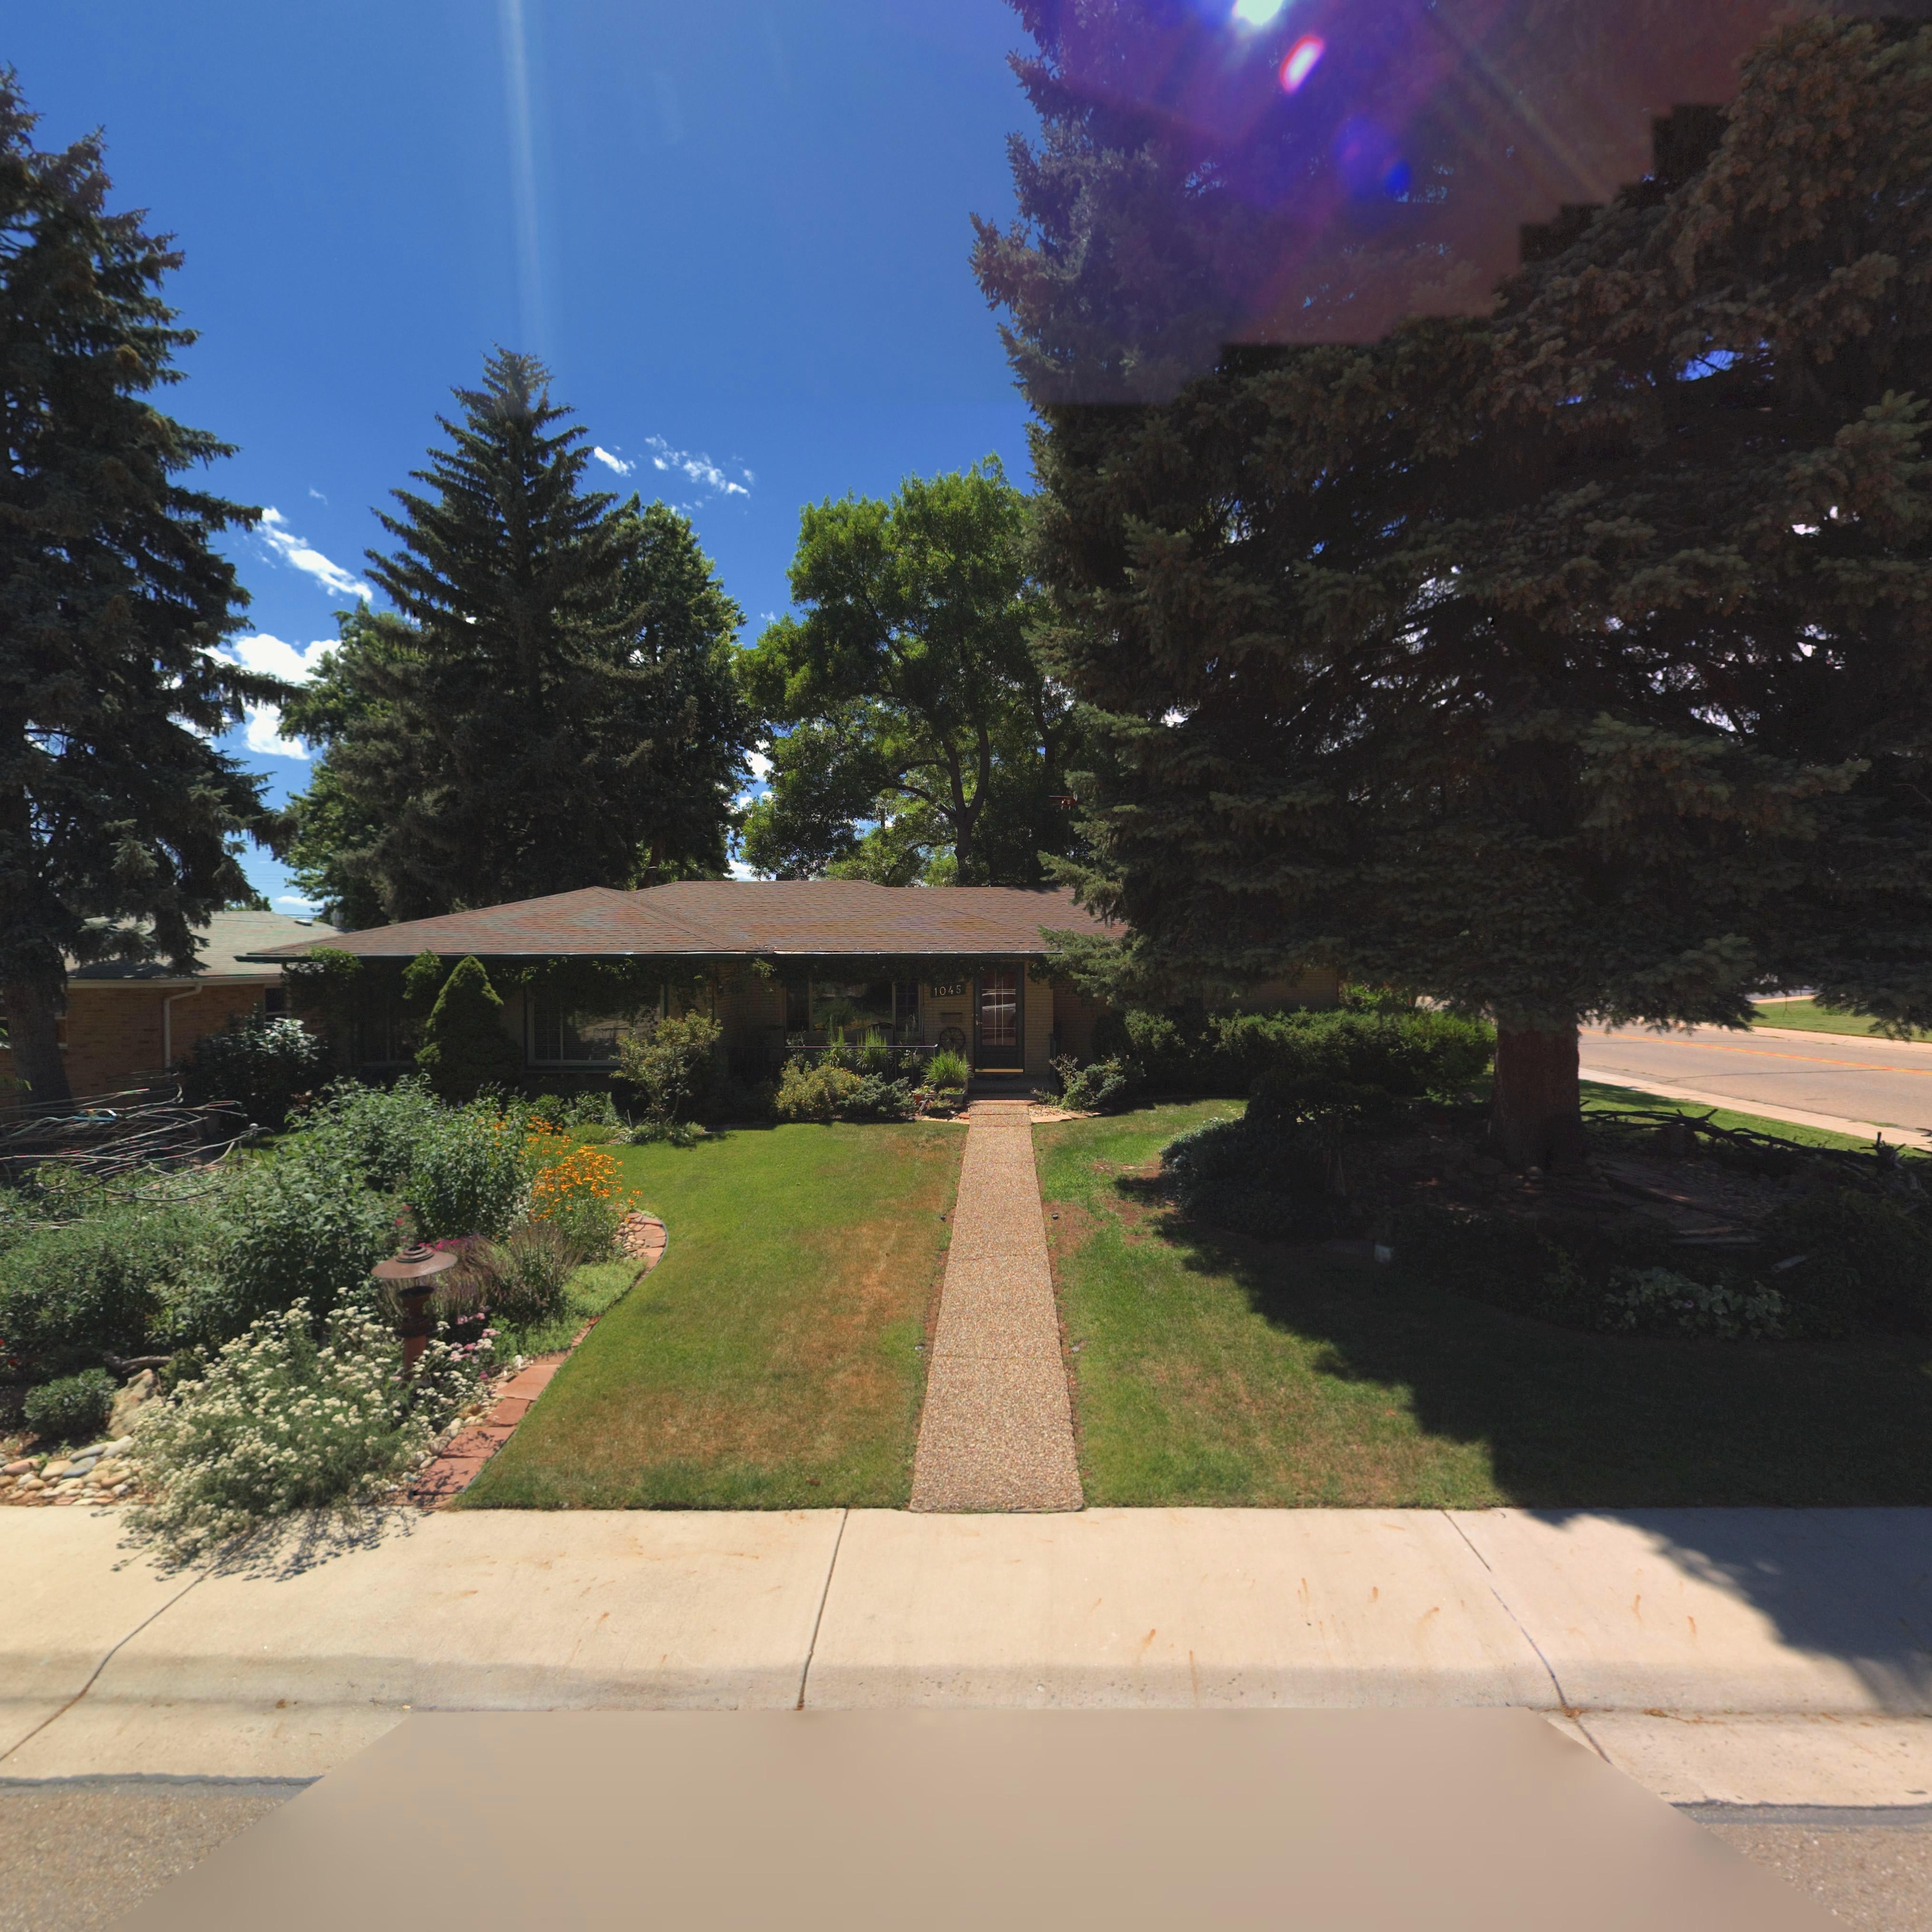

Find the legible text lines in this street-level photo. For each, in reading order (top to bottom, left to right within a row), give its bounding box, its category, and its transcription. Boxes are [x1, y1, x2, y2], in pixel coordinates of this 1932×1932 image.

[934, 985, 961, 996] StreetNumber: 1045